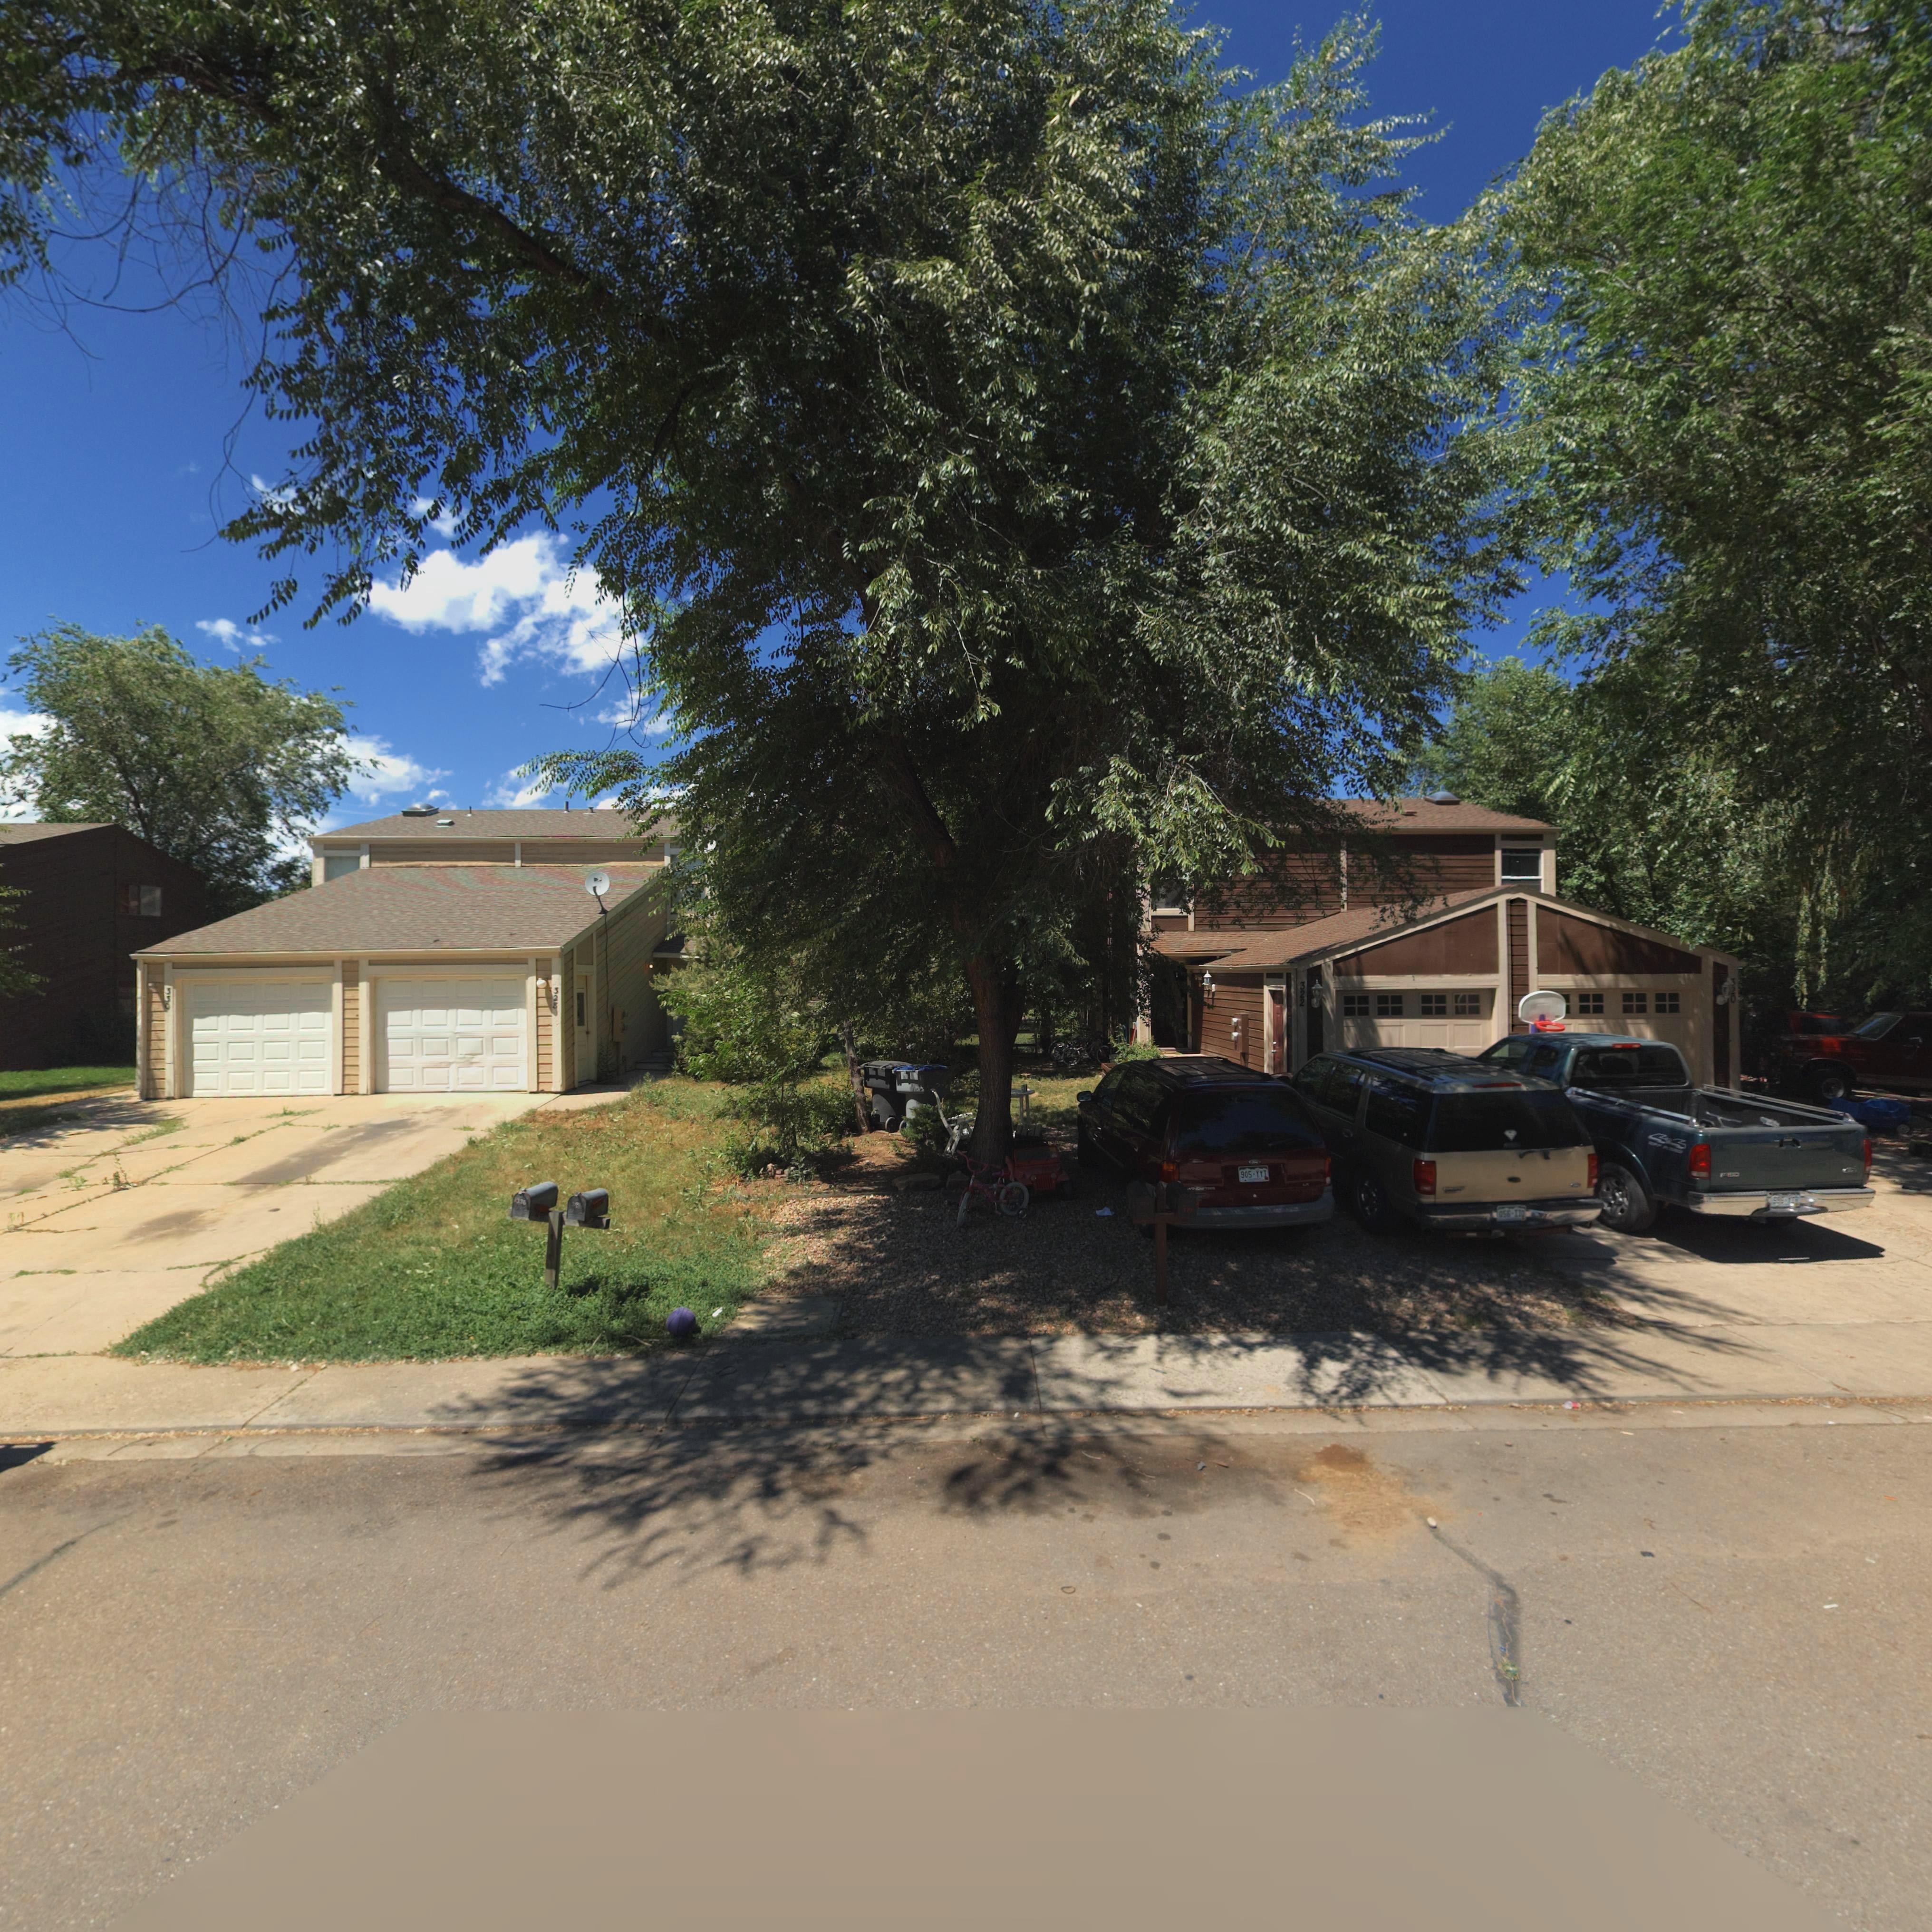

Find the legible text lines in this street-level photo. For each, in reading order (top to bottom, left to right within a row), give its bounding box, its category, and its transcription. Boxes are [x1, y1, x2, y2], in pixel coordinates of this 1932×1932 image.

[164, 987, 172, 1010] StreetNumber: 330
[551, 986, 559, 1009] StreetNumber: 328
[1729, 976, 1737, 1005] StreetNumber: 320